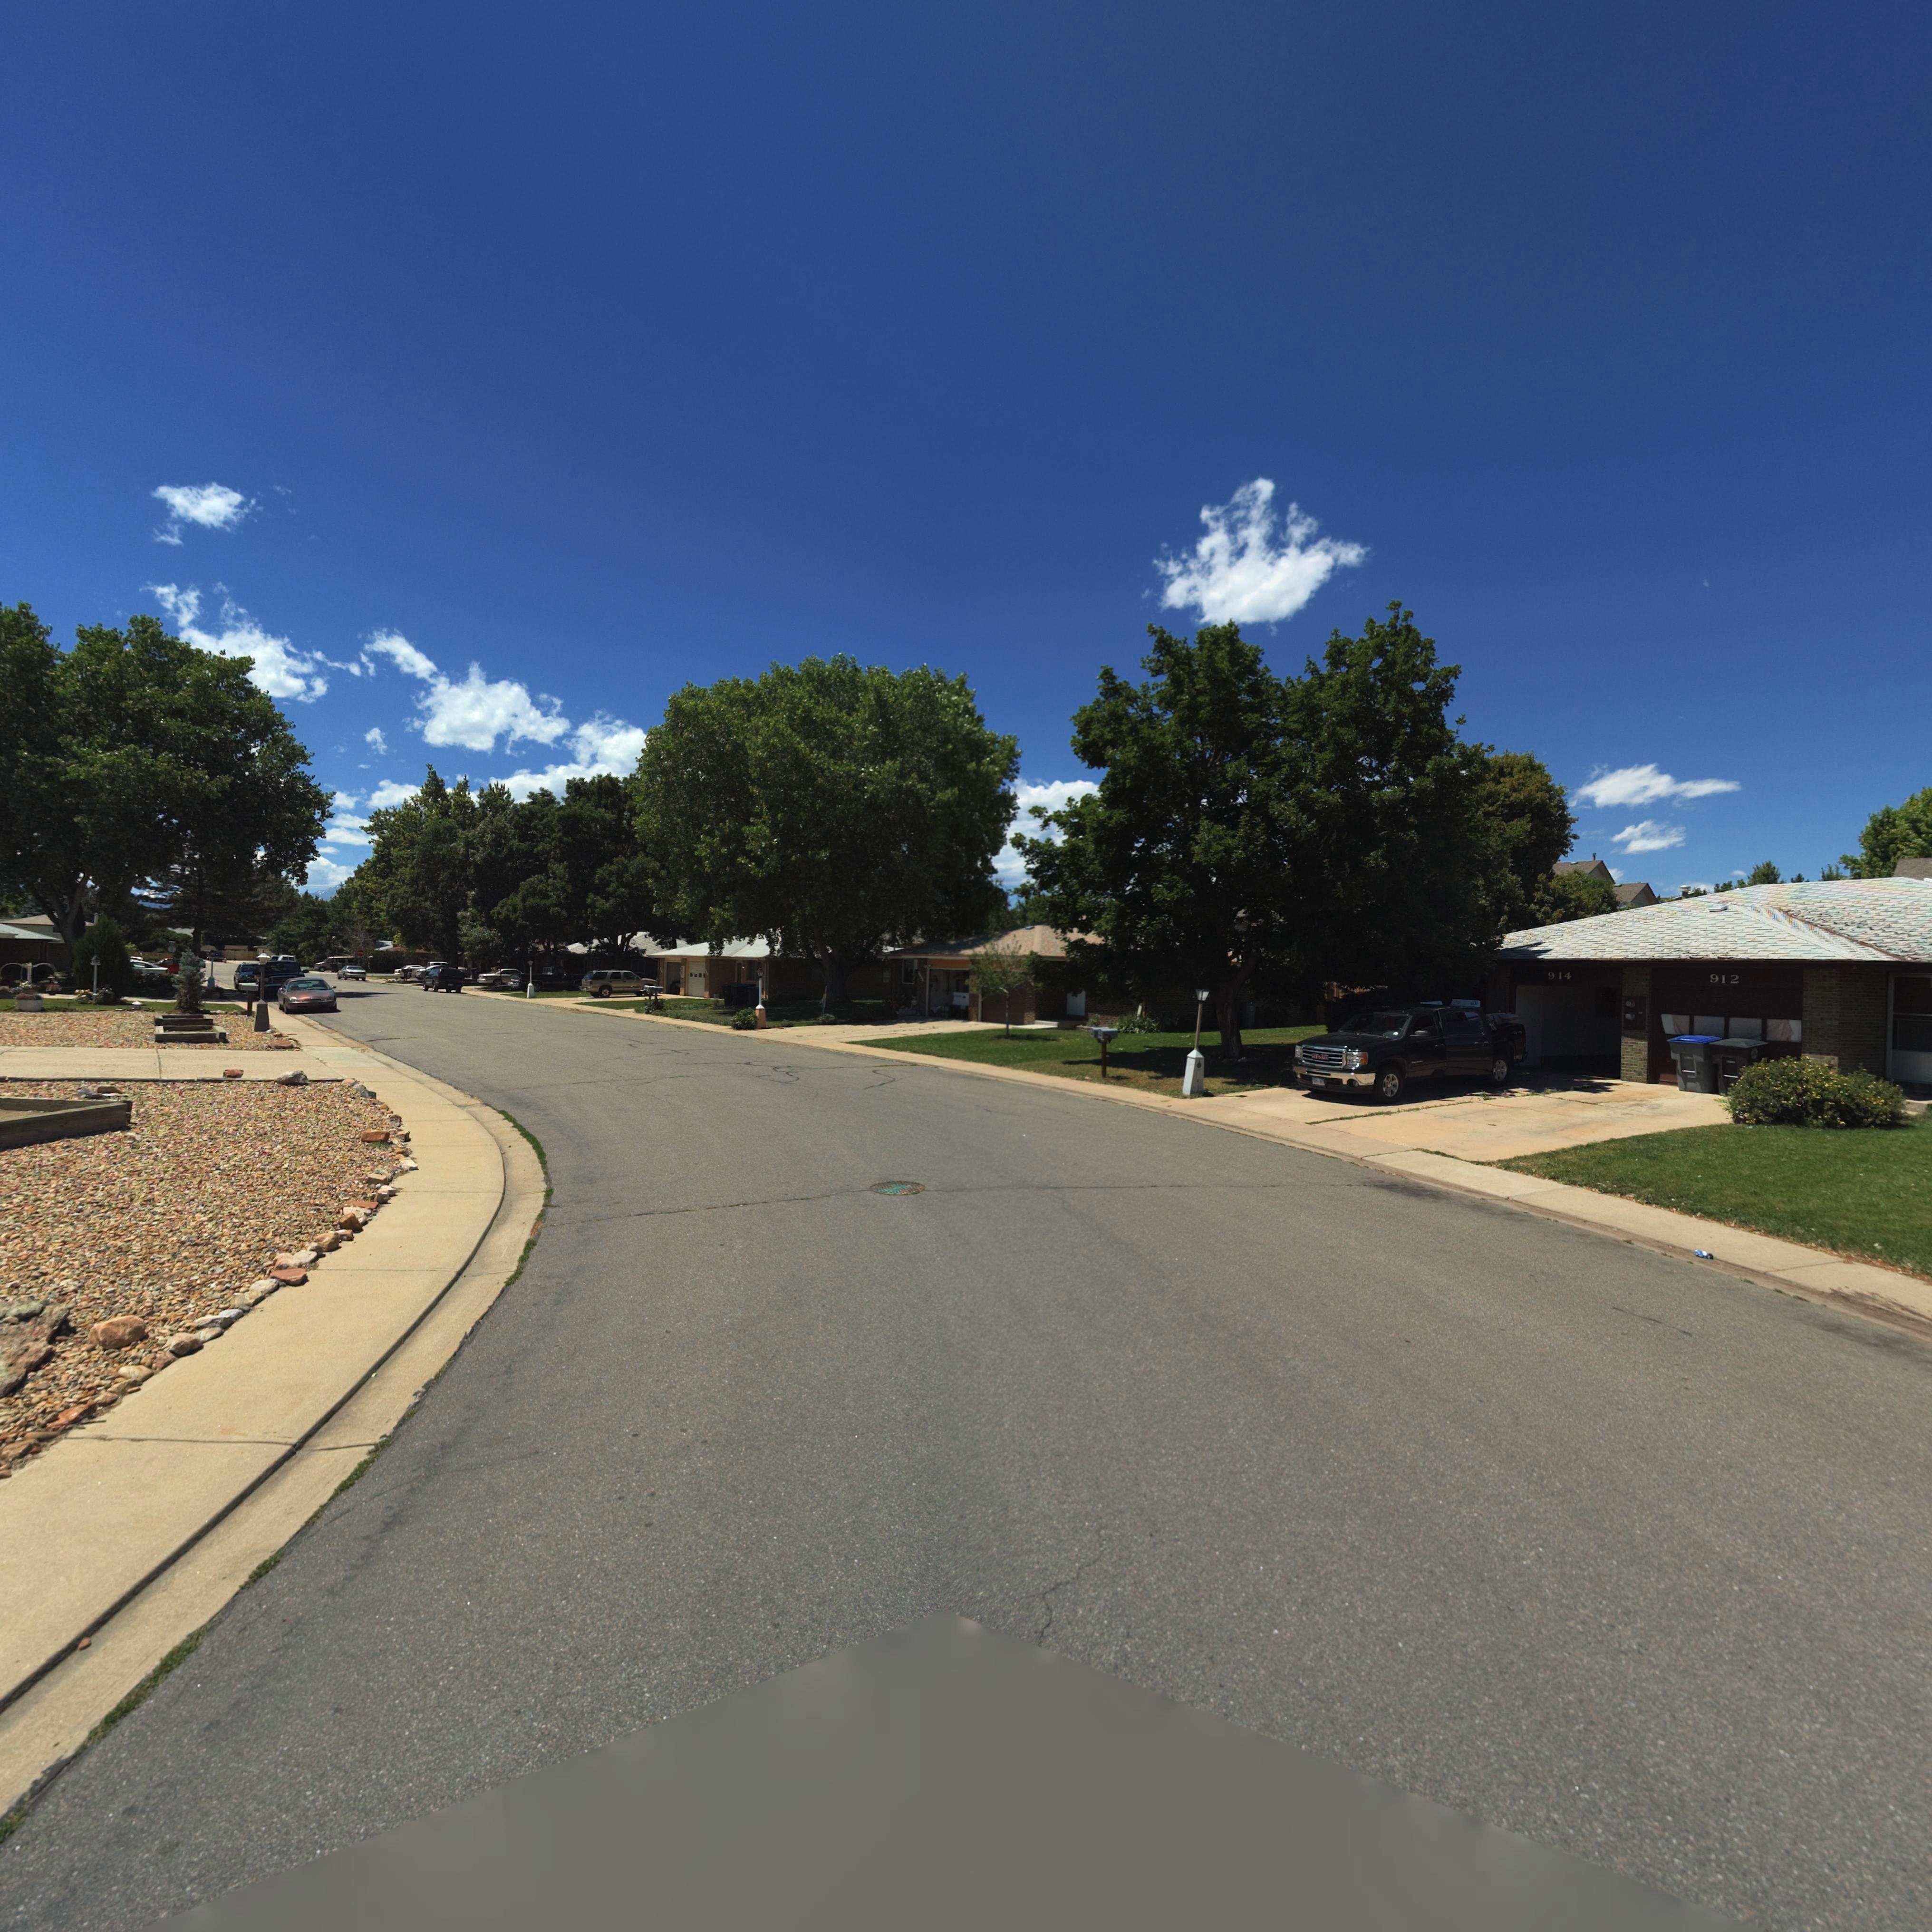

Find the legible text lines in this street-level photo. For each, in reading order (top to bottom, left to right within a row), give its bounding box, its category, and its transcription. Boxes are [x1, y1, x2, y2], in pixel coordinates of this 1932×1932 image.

[1547, 971, 1571, 980] StreetNumber: 914
[1710, 973, 1739, 984] StreetNumber: 912